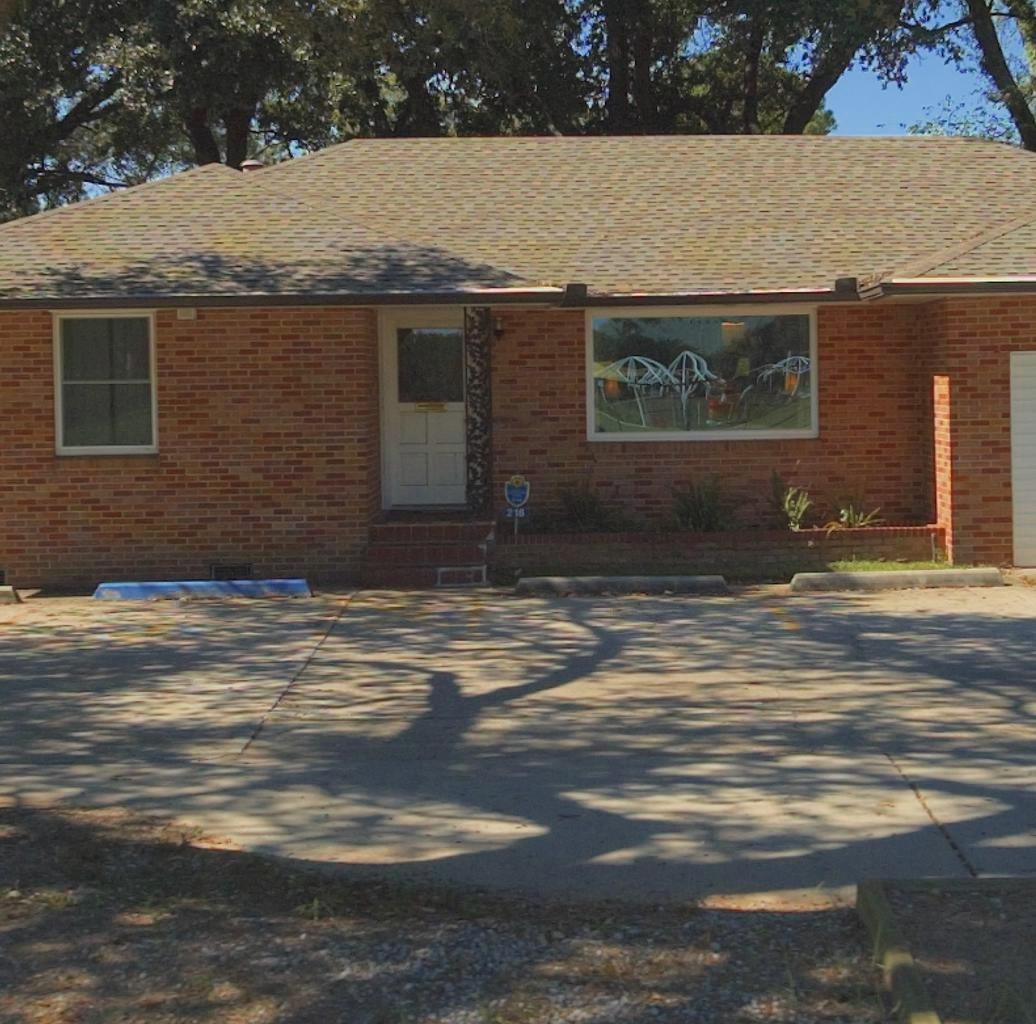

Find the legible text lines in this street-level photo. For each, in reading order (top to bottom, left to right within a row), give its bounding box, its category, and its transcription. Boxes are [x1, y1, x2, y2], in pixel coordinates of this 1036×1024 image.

[505, 507, 526, 519] StreetNumber: 216